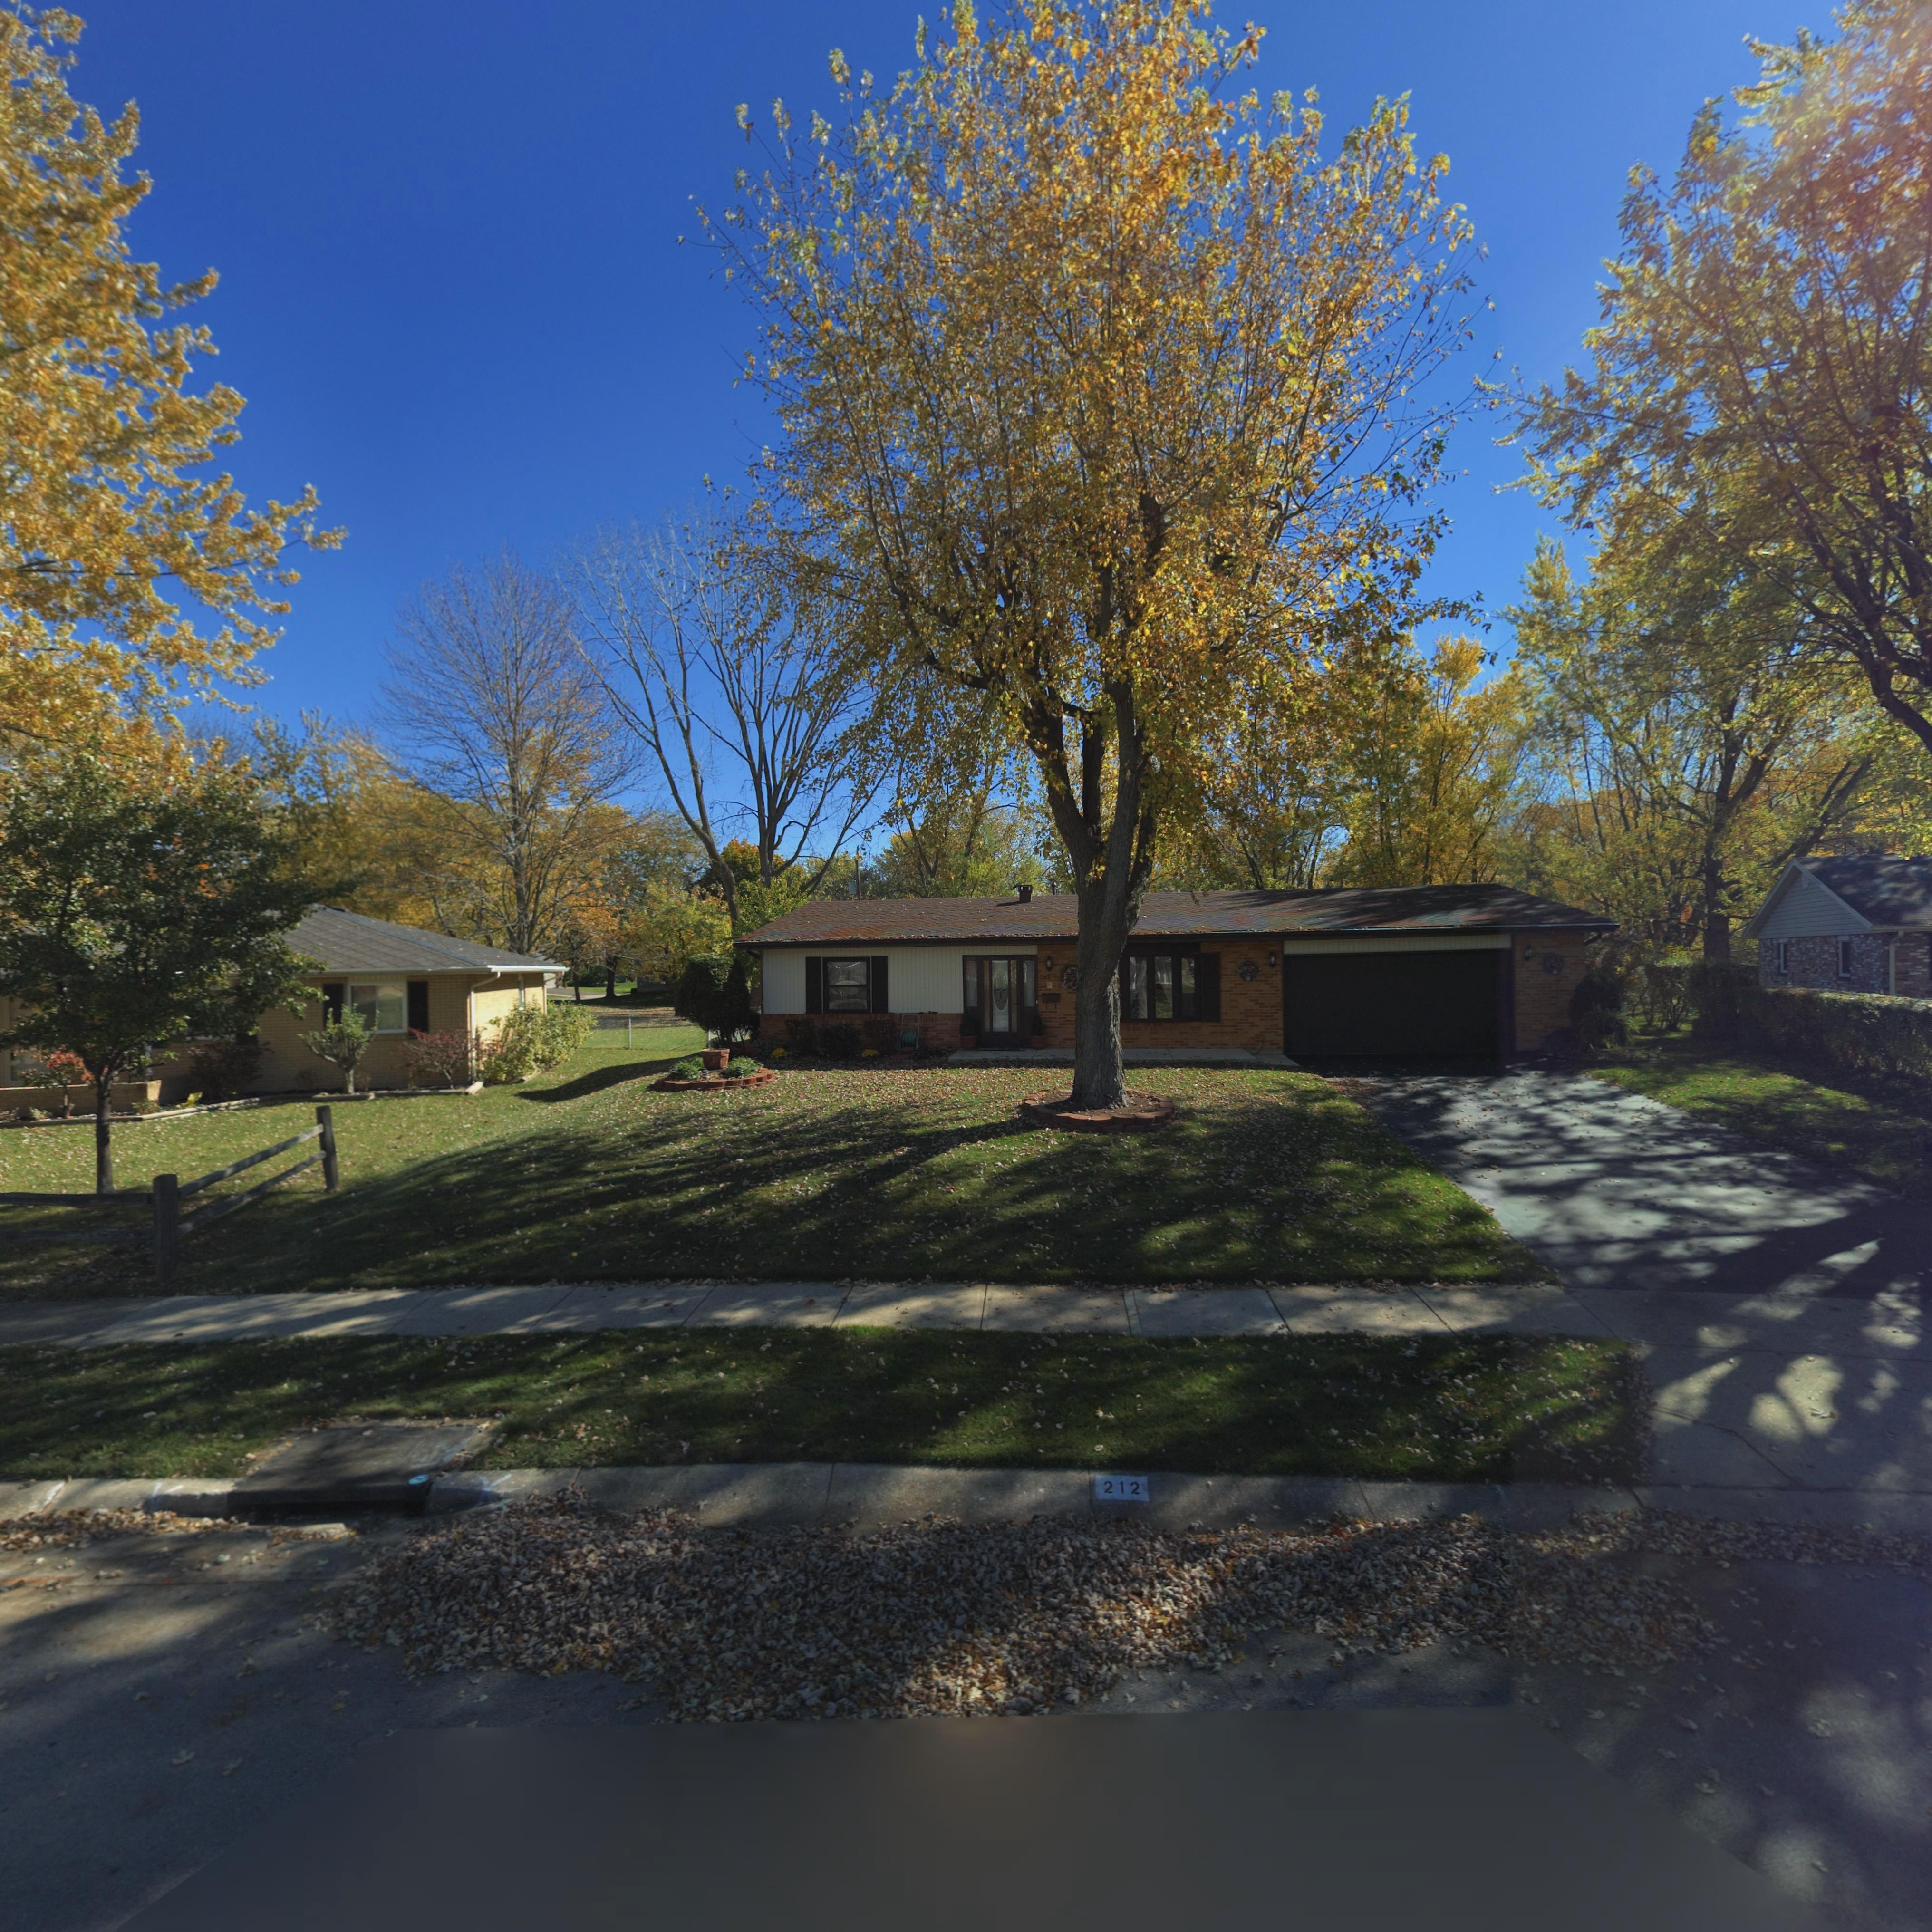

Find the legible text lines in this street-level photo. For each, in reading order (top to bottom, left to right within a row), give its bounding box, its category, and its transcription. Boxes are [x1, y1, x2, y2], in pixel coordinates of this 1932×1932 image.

[1039, 974, 1051, 980] StreetNumber: 212
[1103, 1481, 1140, 1495] StreetNumber: 212